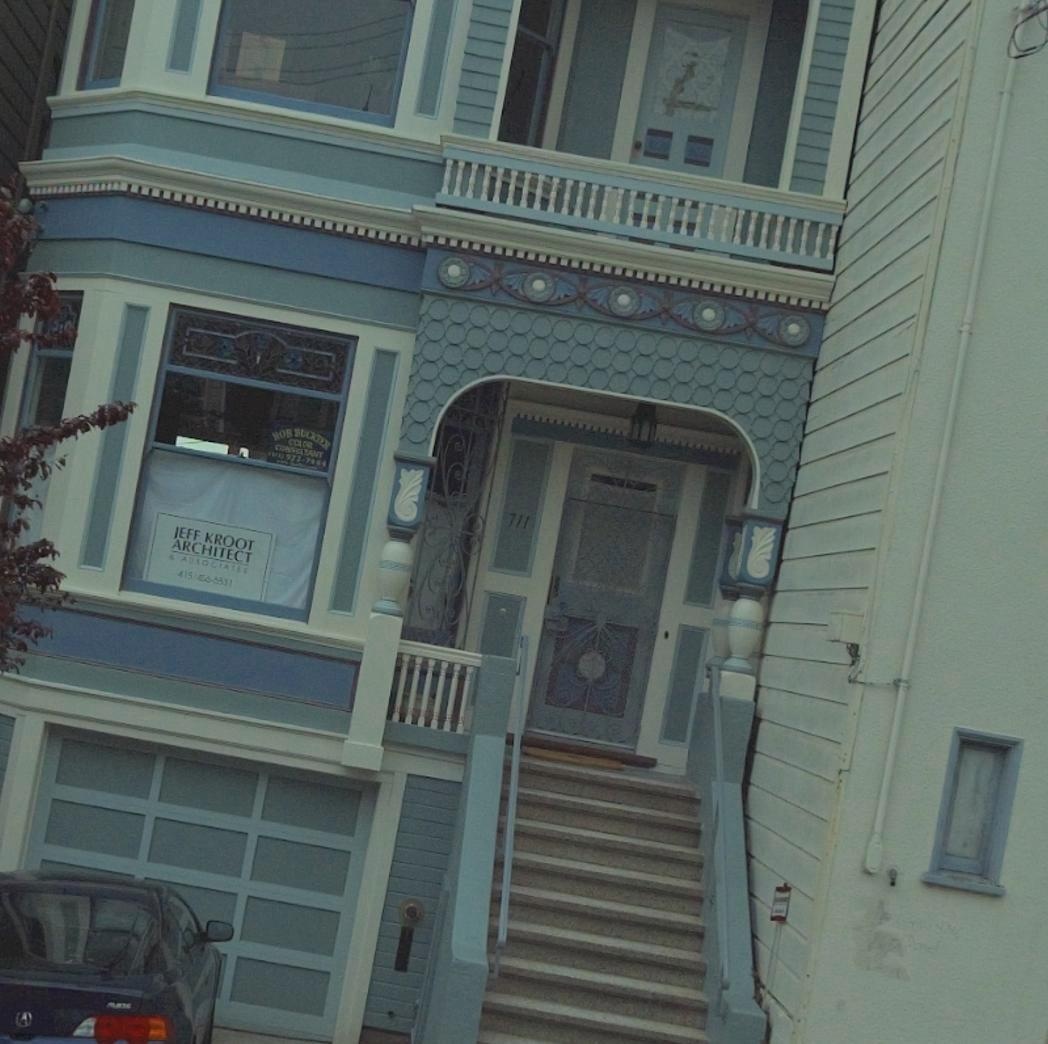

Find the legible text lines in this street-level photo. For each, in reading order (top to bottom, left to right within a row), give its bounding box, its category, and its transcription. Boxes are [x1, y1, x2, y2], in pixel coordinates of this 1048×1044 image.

[269, 427, 305, 442] None: BOB BL
[273, 443, 325, 461] None: CONSULTANT
[286, 438, 314, 450] None: COLOR
[506, 511, 532, 531] StreetNumber: 711
[172, 524, 258, 553] None: JEFF KROOT
[168, 538, 256, 565] None: ARCHITECT
[178, 554, 249, 576] None: ASSOCIATE
[176, 568, 234, 588] None: 415 456-6531